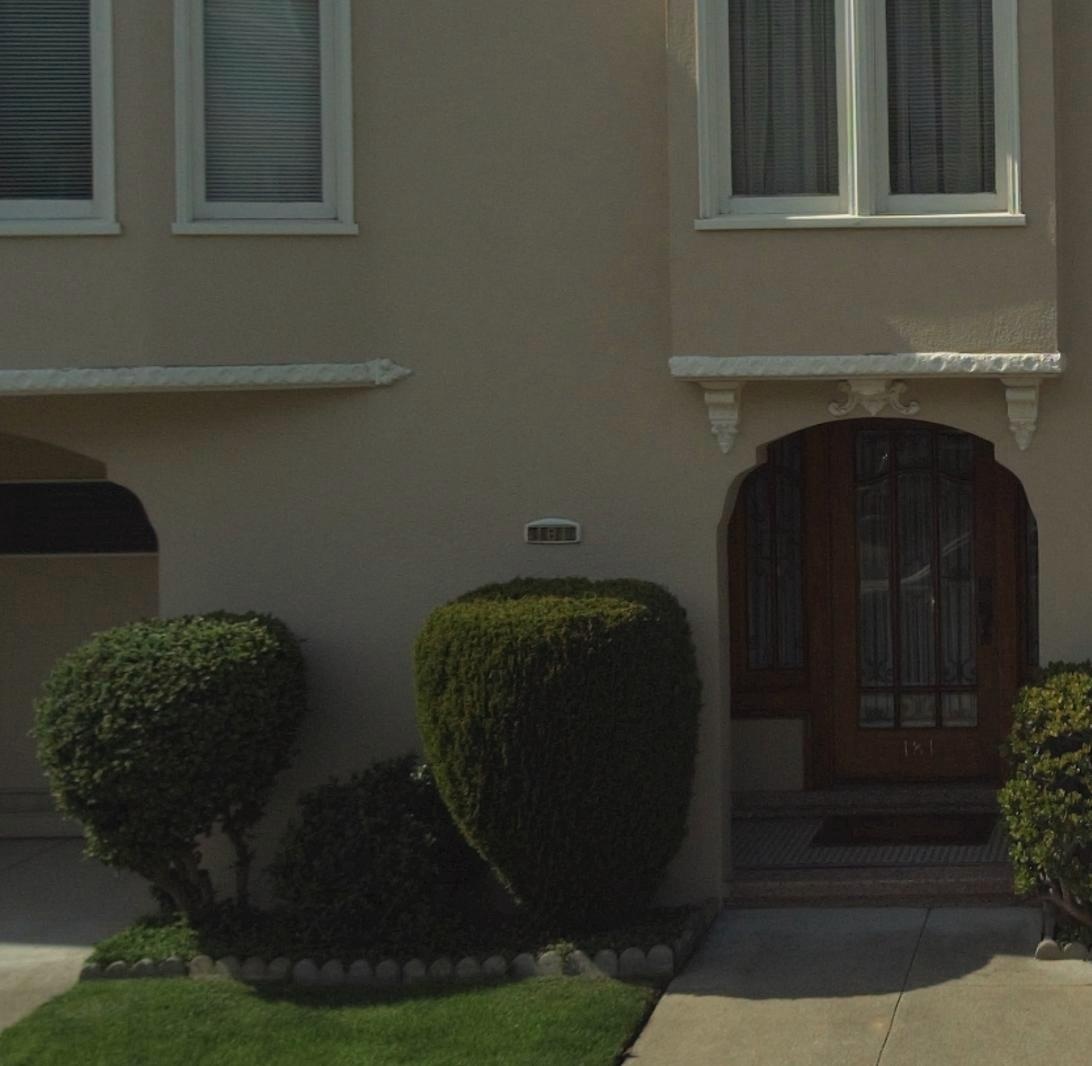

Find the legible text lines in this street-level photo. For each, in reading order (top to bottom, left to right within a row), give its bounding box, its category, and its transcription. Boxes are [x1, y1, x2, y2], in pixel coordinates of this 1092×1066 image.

[534, 525, 568, 543] StreetNumber: 181